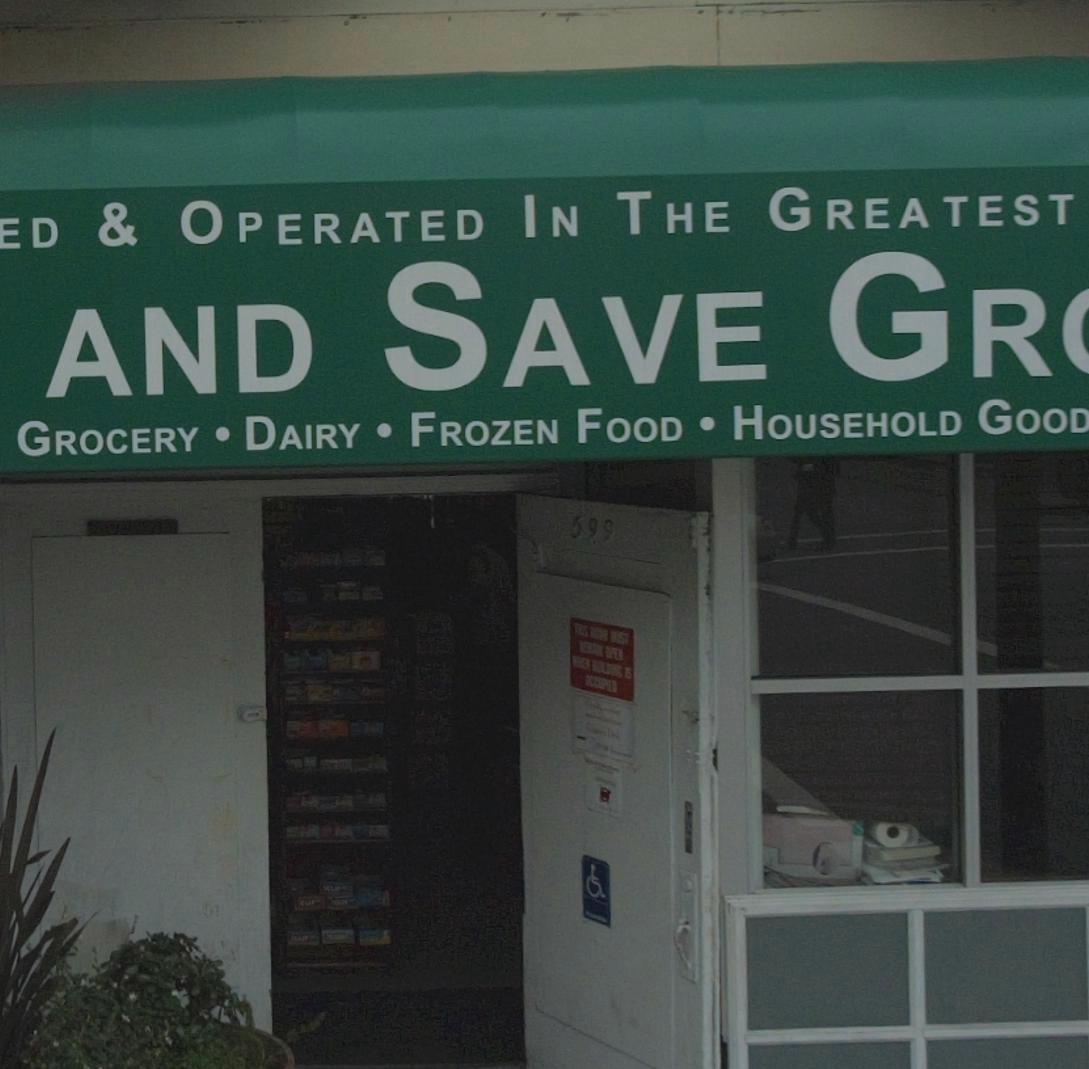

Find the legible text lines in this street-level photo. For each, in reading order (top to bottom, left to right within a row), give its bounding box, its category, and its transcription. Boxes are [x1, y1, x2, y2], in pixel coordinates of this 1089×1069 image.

[29, 183, 1080, 251] None: D & OPERATED IN THE GREATEST
[41, 248, 1062, 402] BusinessName: AND SAVE GR
[15, 396, 1071, 461] None: GROCERY * DAIRY * FROZEN FOOD * HOUSEHOLD GOO
[568, 512, 620, 545] StreetNumber: 599